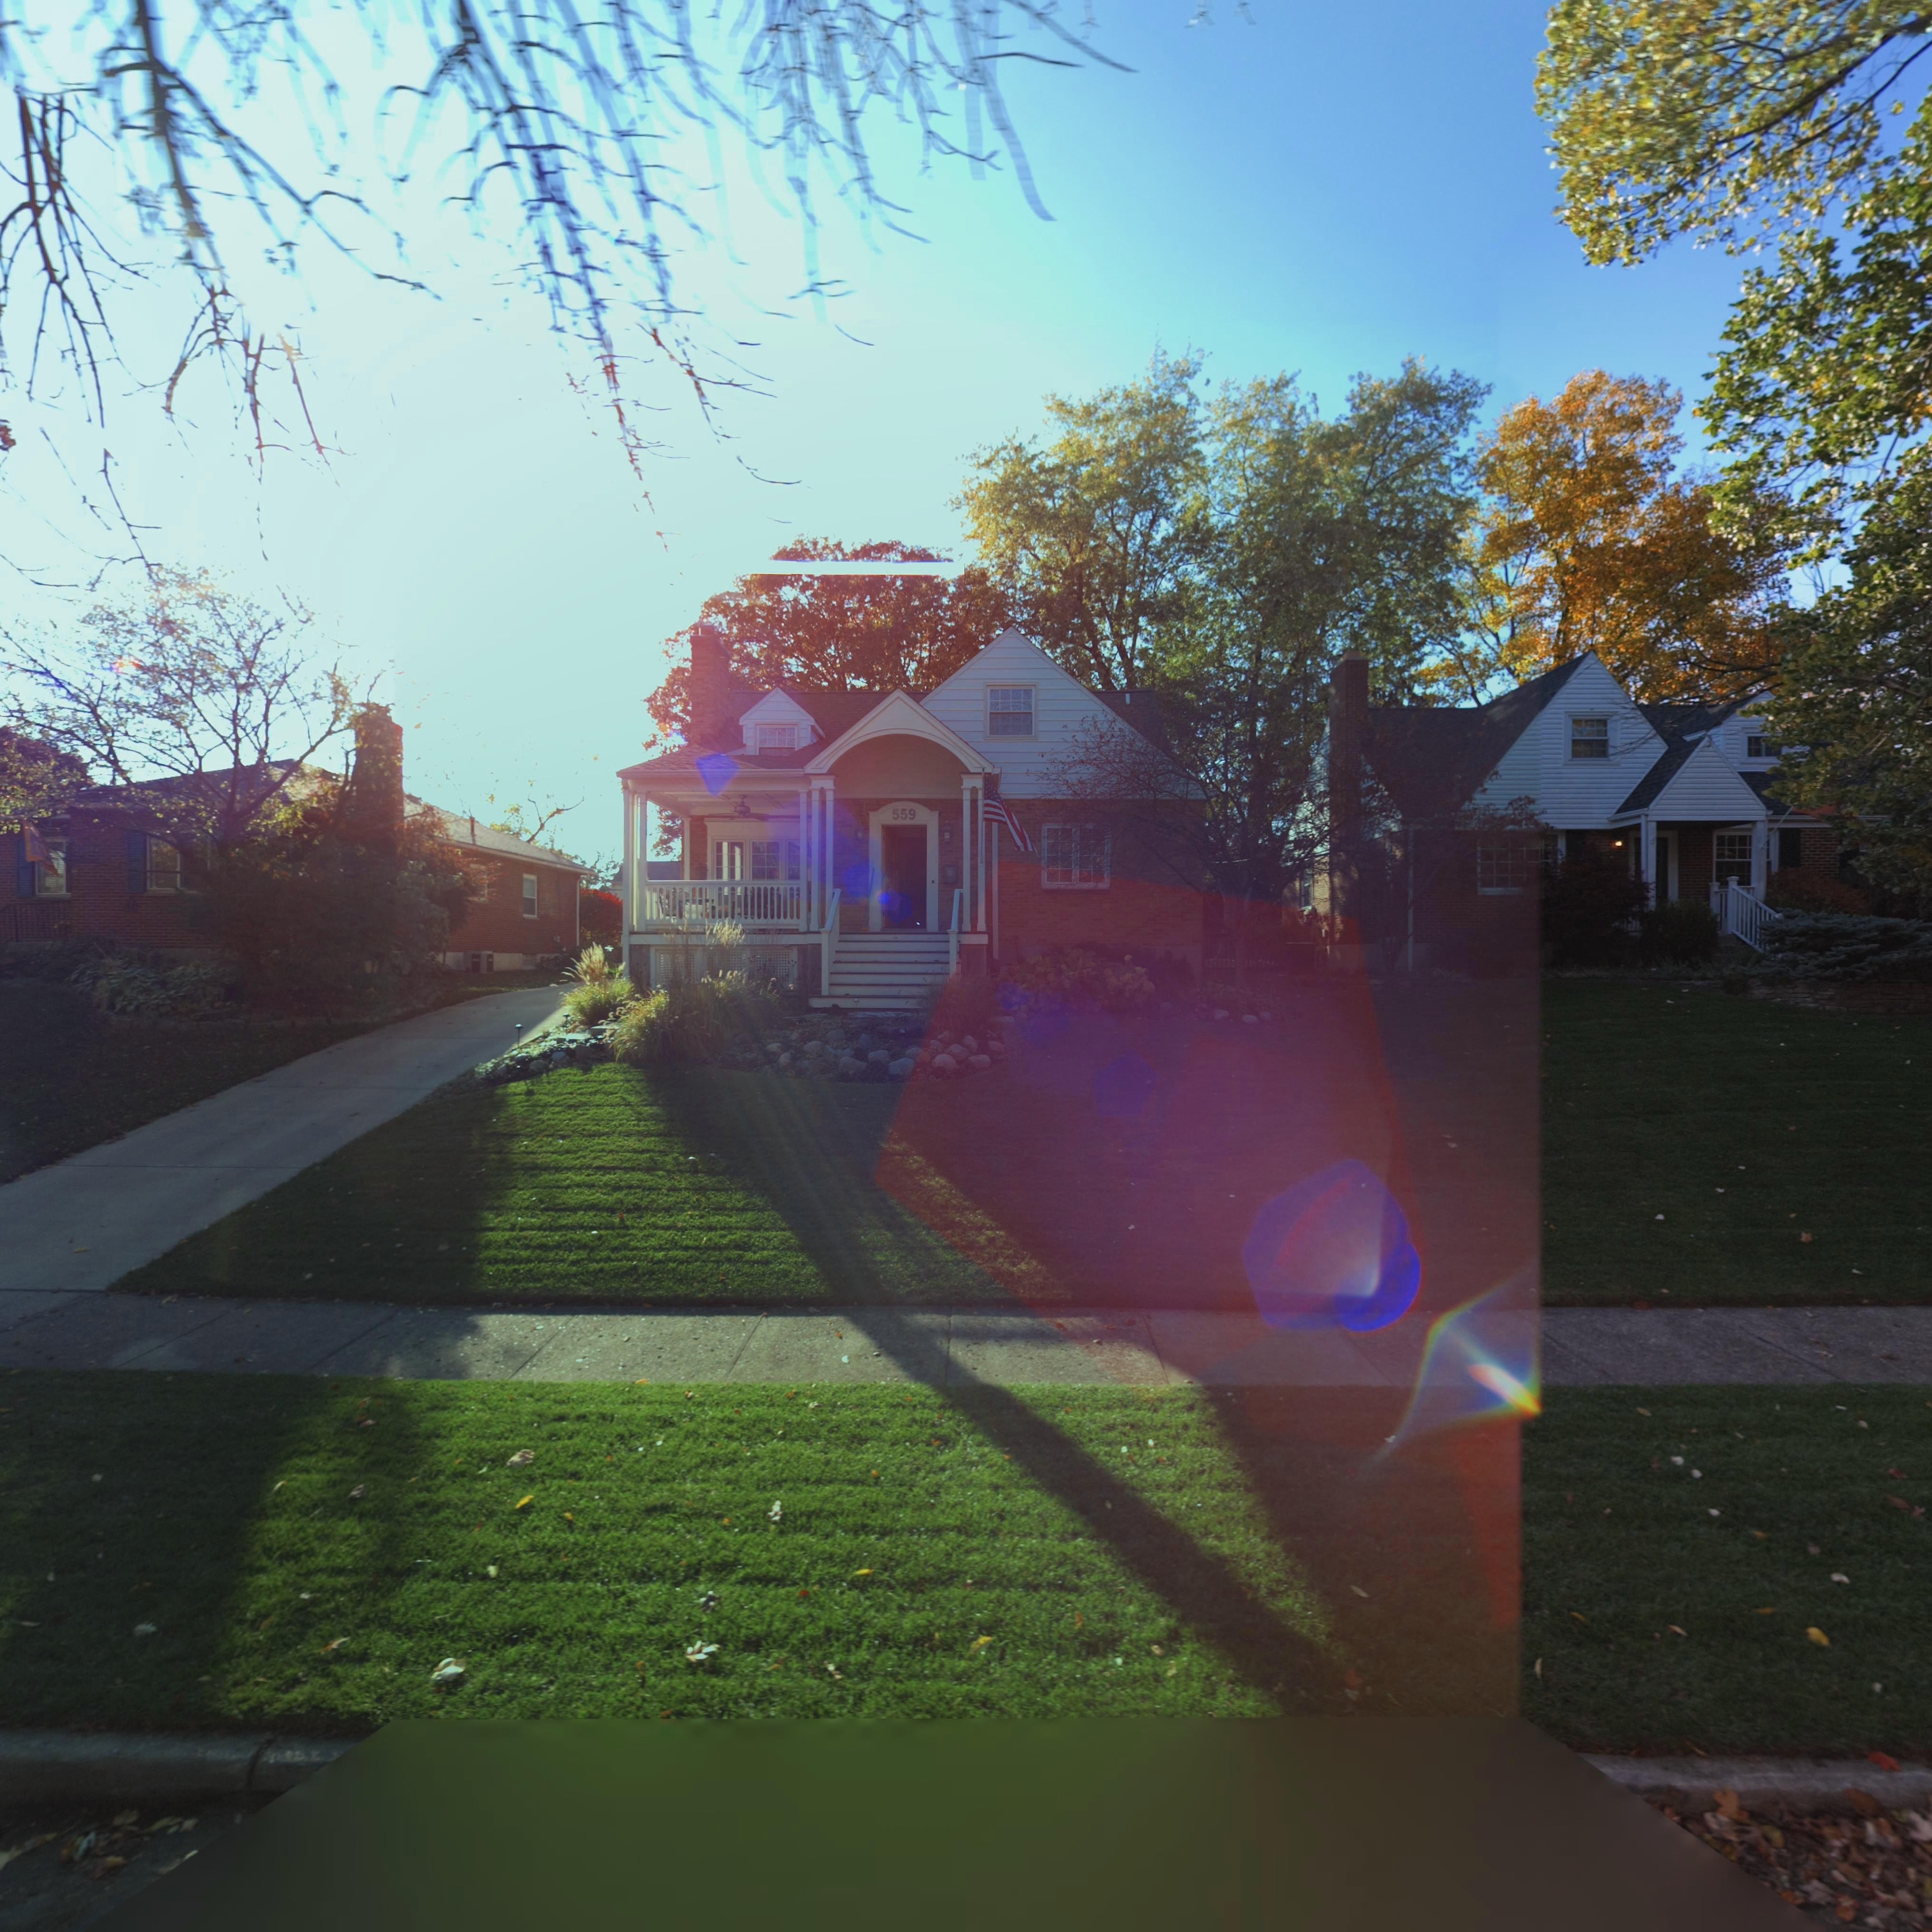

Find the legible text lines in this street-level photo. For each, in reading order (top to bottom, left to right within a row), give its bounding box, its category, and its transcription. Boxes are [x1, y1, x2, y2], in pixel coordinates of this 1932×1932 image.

[892, 807, 916, 821] StreetNumber: 559